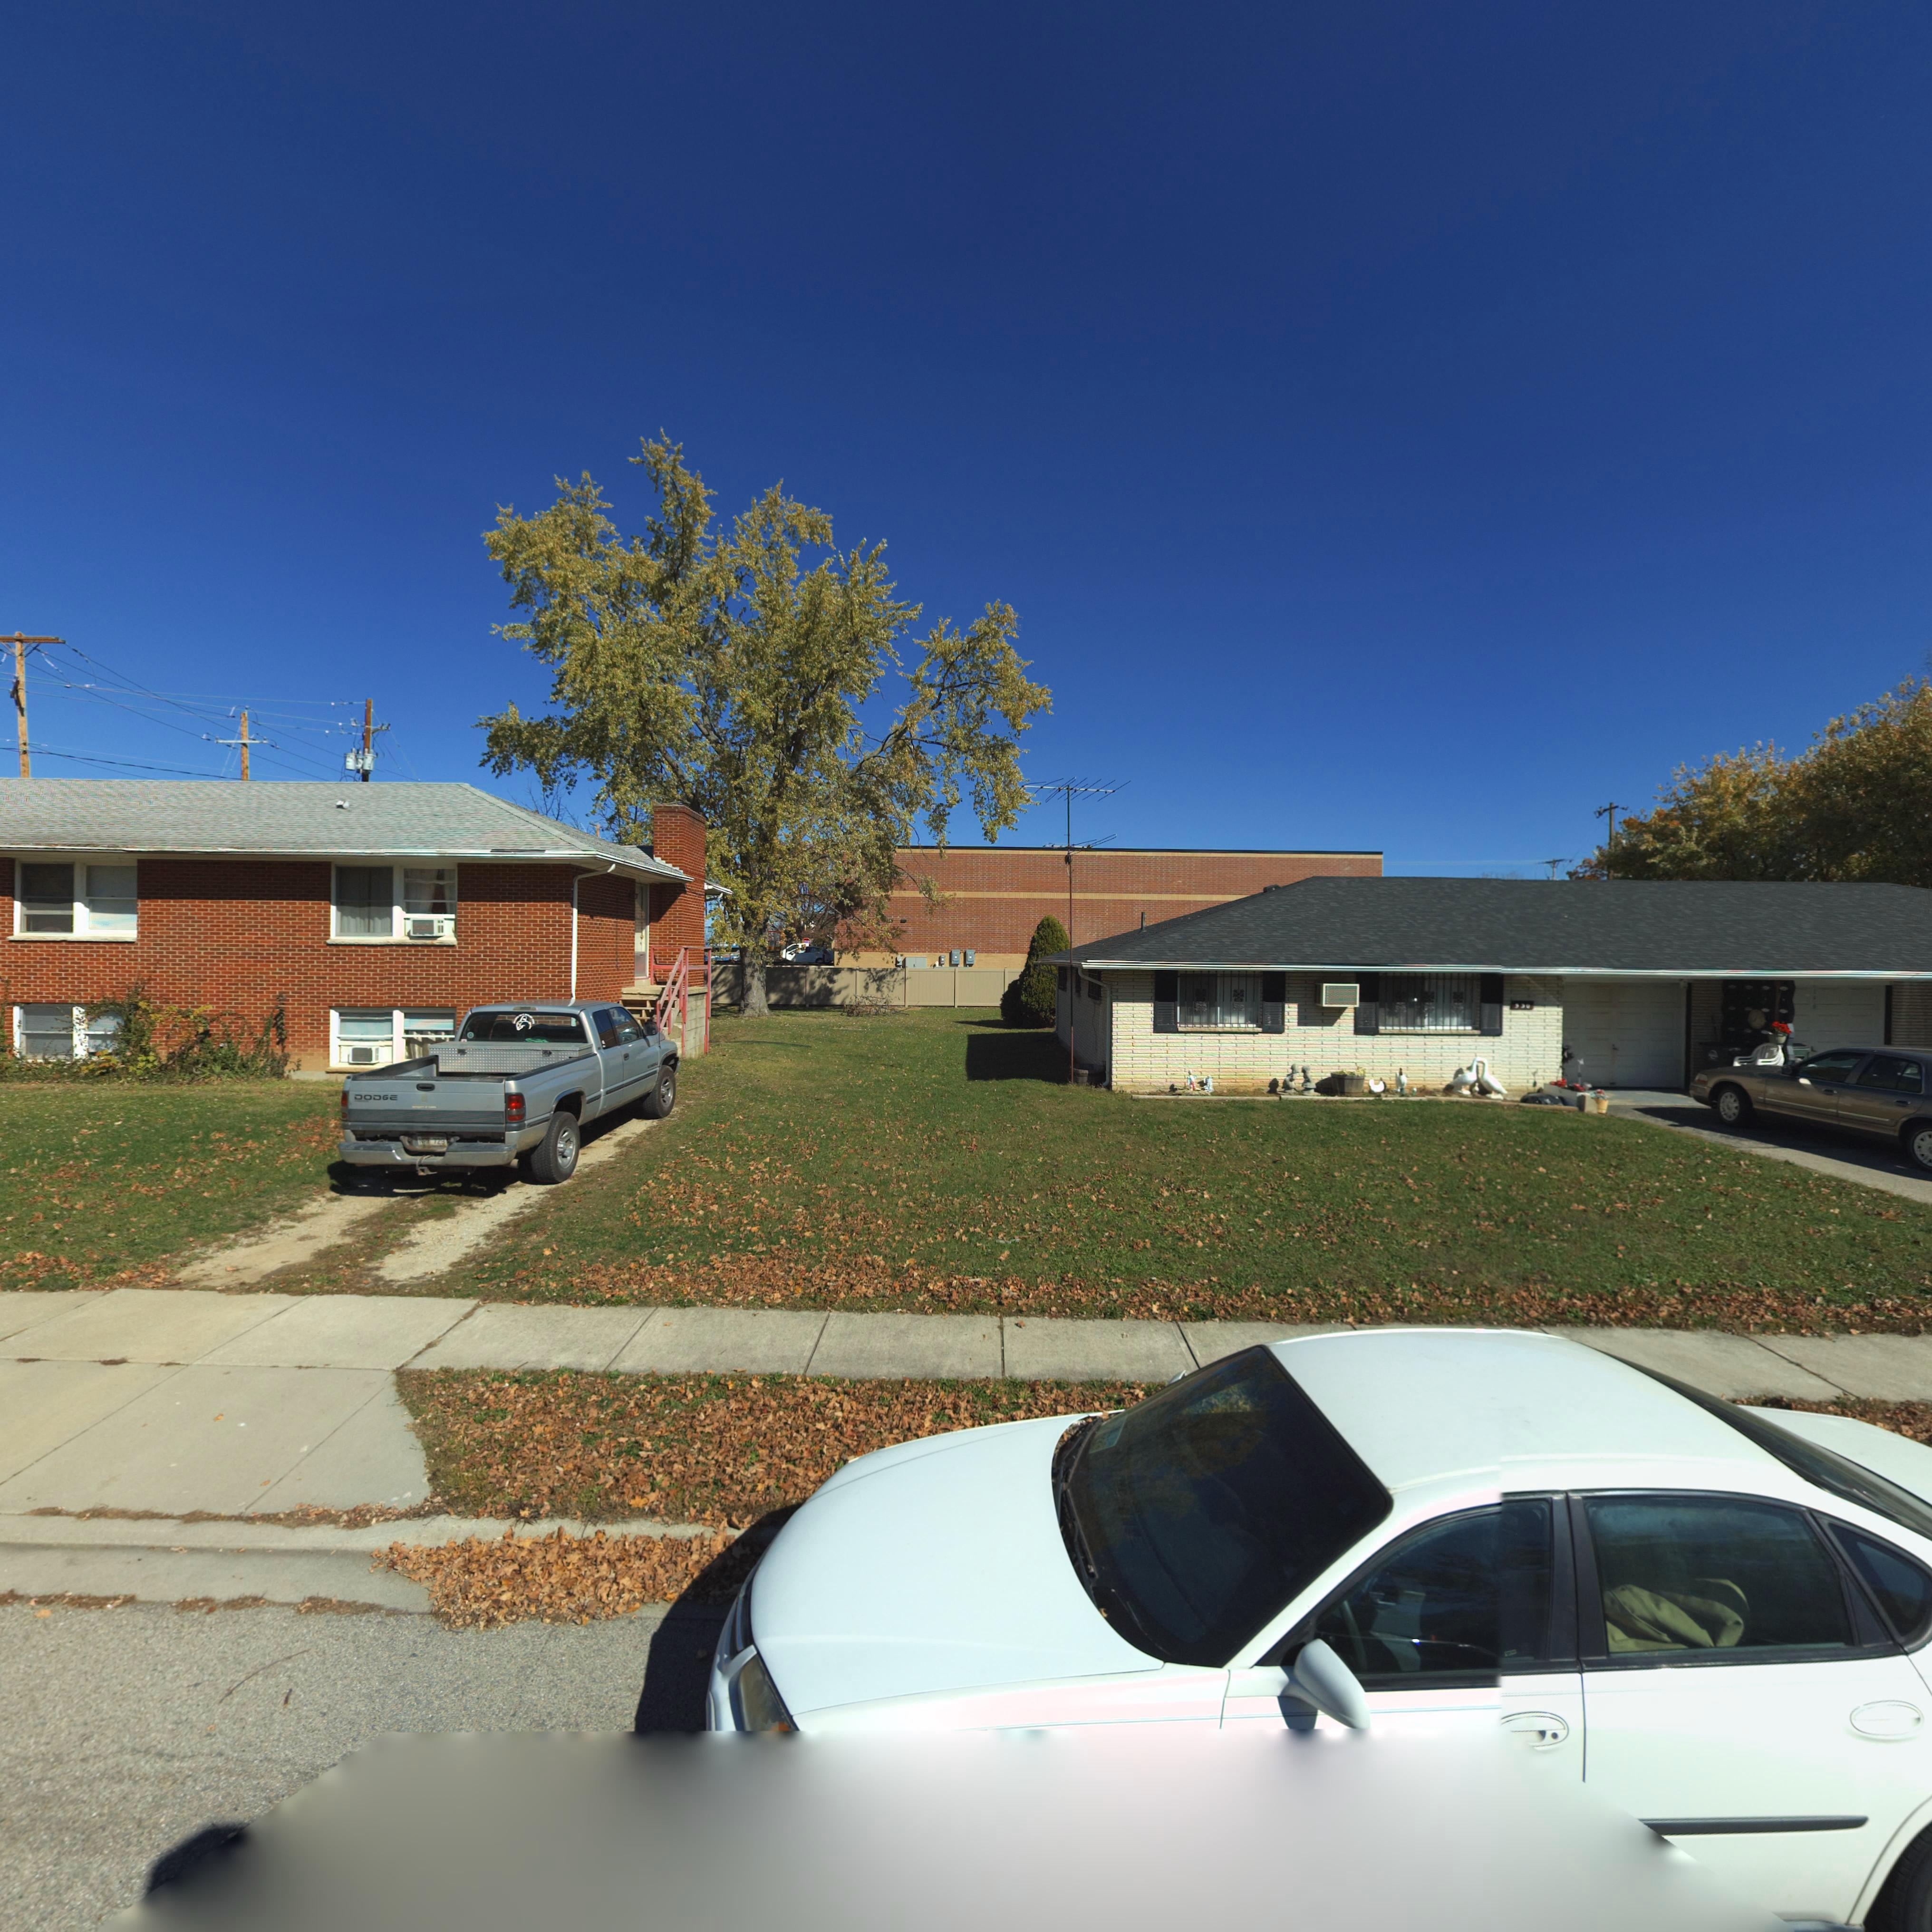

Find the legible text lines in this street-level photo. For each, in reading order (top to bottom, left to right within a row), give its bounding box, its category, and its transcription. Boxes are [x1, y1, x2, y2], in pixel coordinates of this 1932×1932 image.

[1514, 1002, 1531, 1009] StreetNumber: 5**